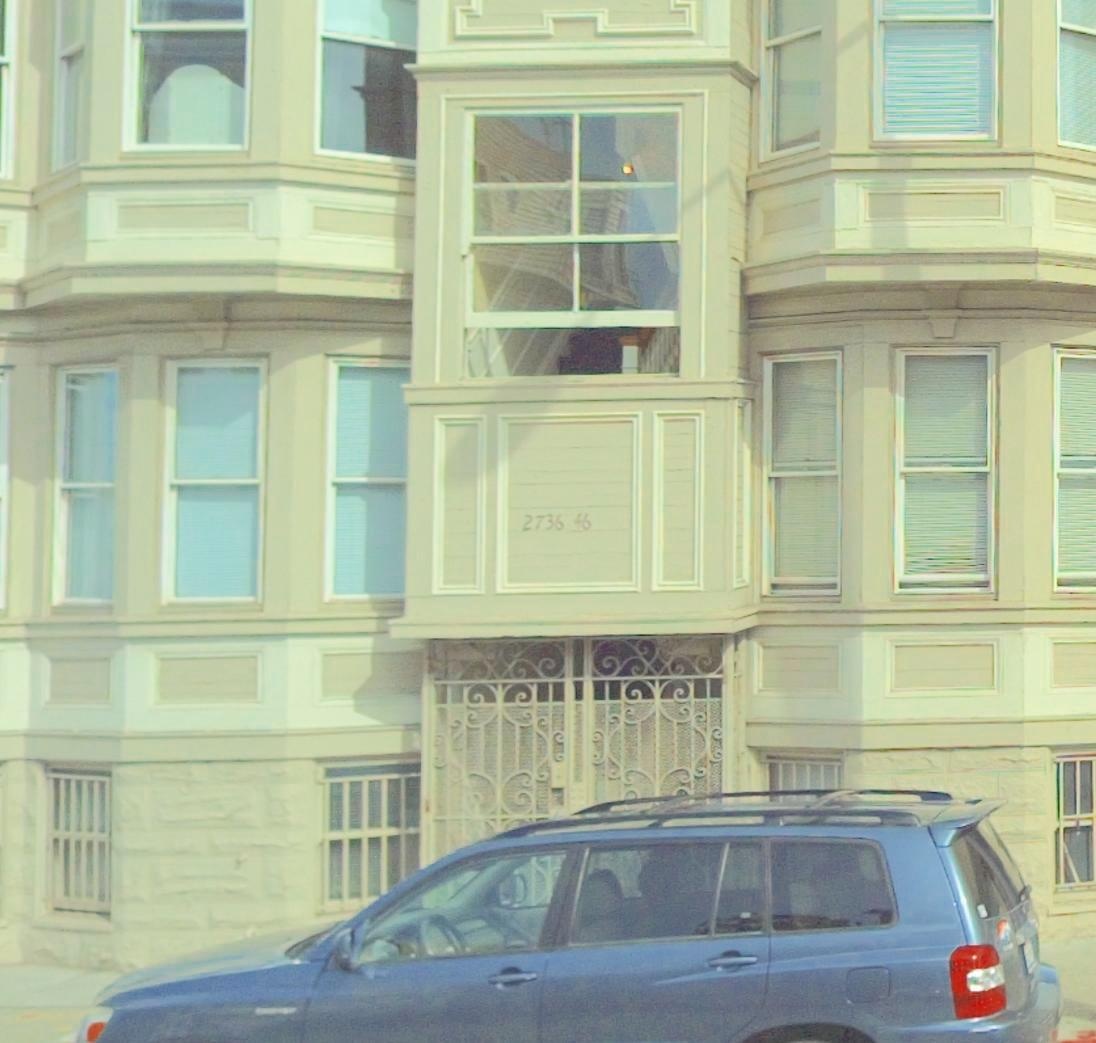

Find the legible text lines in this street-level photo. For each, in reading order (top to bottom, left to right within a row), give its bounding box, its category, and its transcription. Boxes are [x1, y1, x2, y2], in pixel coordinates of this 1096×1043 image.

[518, 510, 595, 535] StreetNumber: 2736 46